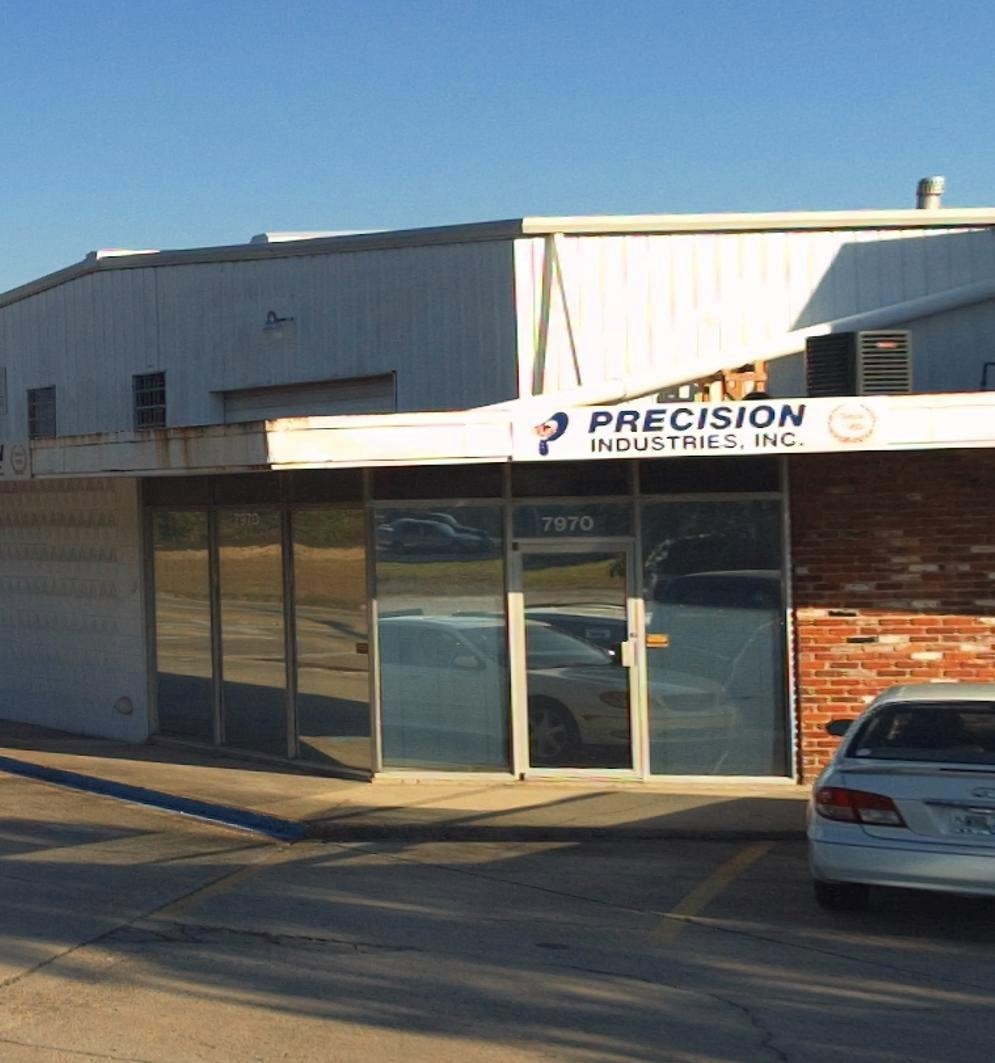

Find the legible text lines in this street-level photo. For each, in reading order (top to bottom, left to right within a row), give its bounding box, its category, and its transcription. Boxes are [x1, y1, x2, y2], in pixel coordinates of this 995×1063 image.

[586, 403, 806, 434] BusinessName: PRECISION
[590, 432, 804, 453] BusinessName: INDUSTRIES, INC.
[540, 516, 595, 532] StreetNumber: 7970